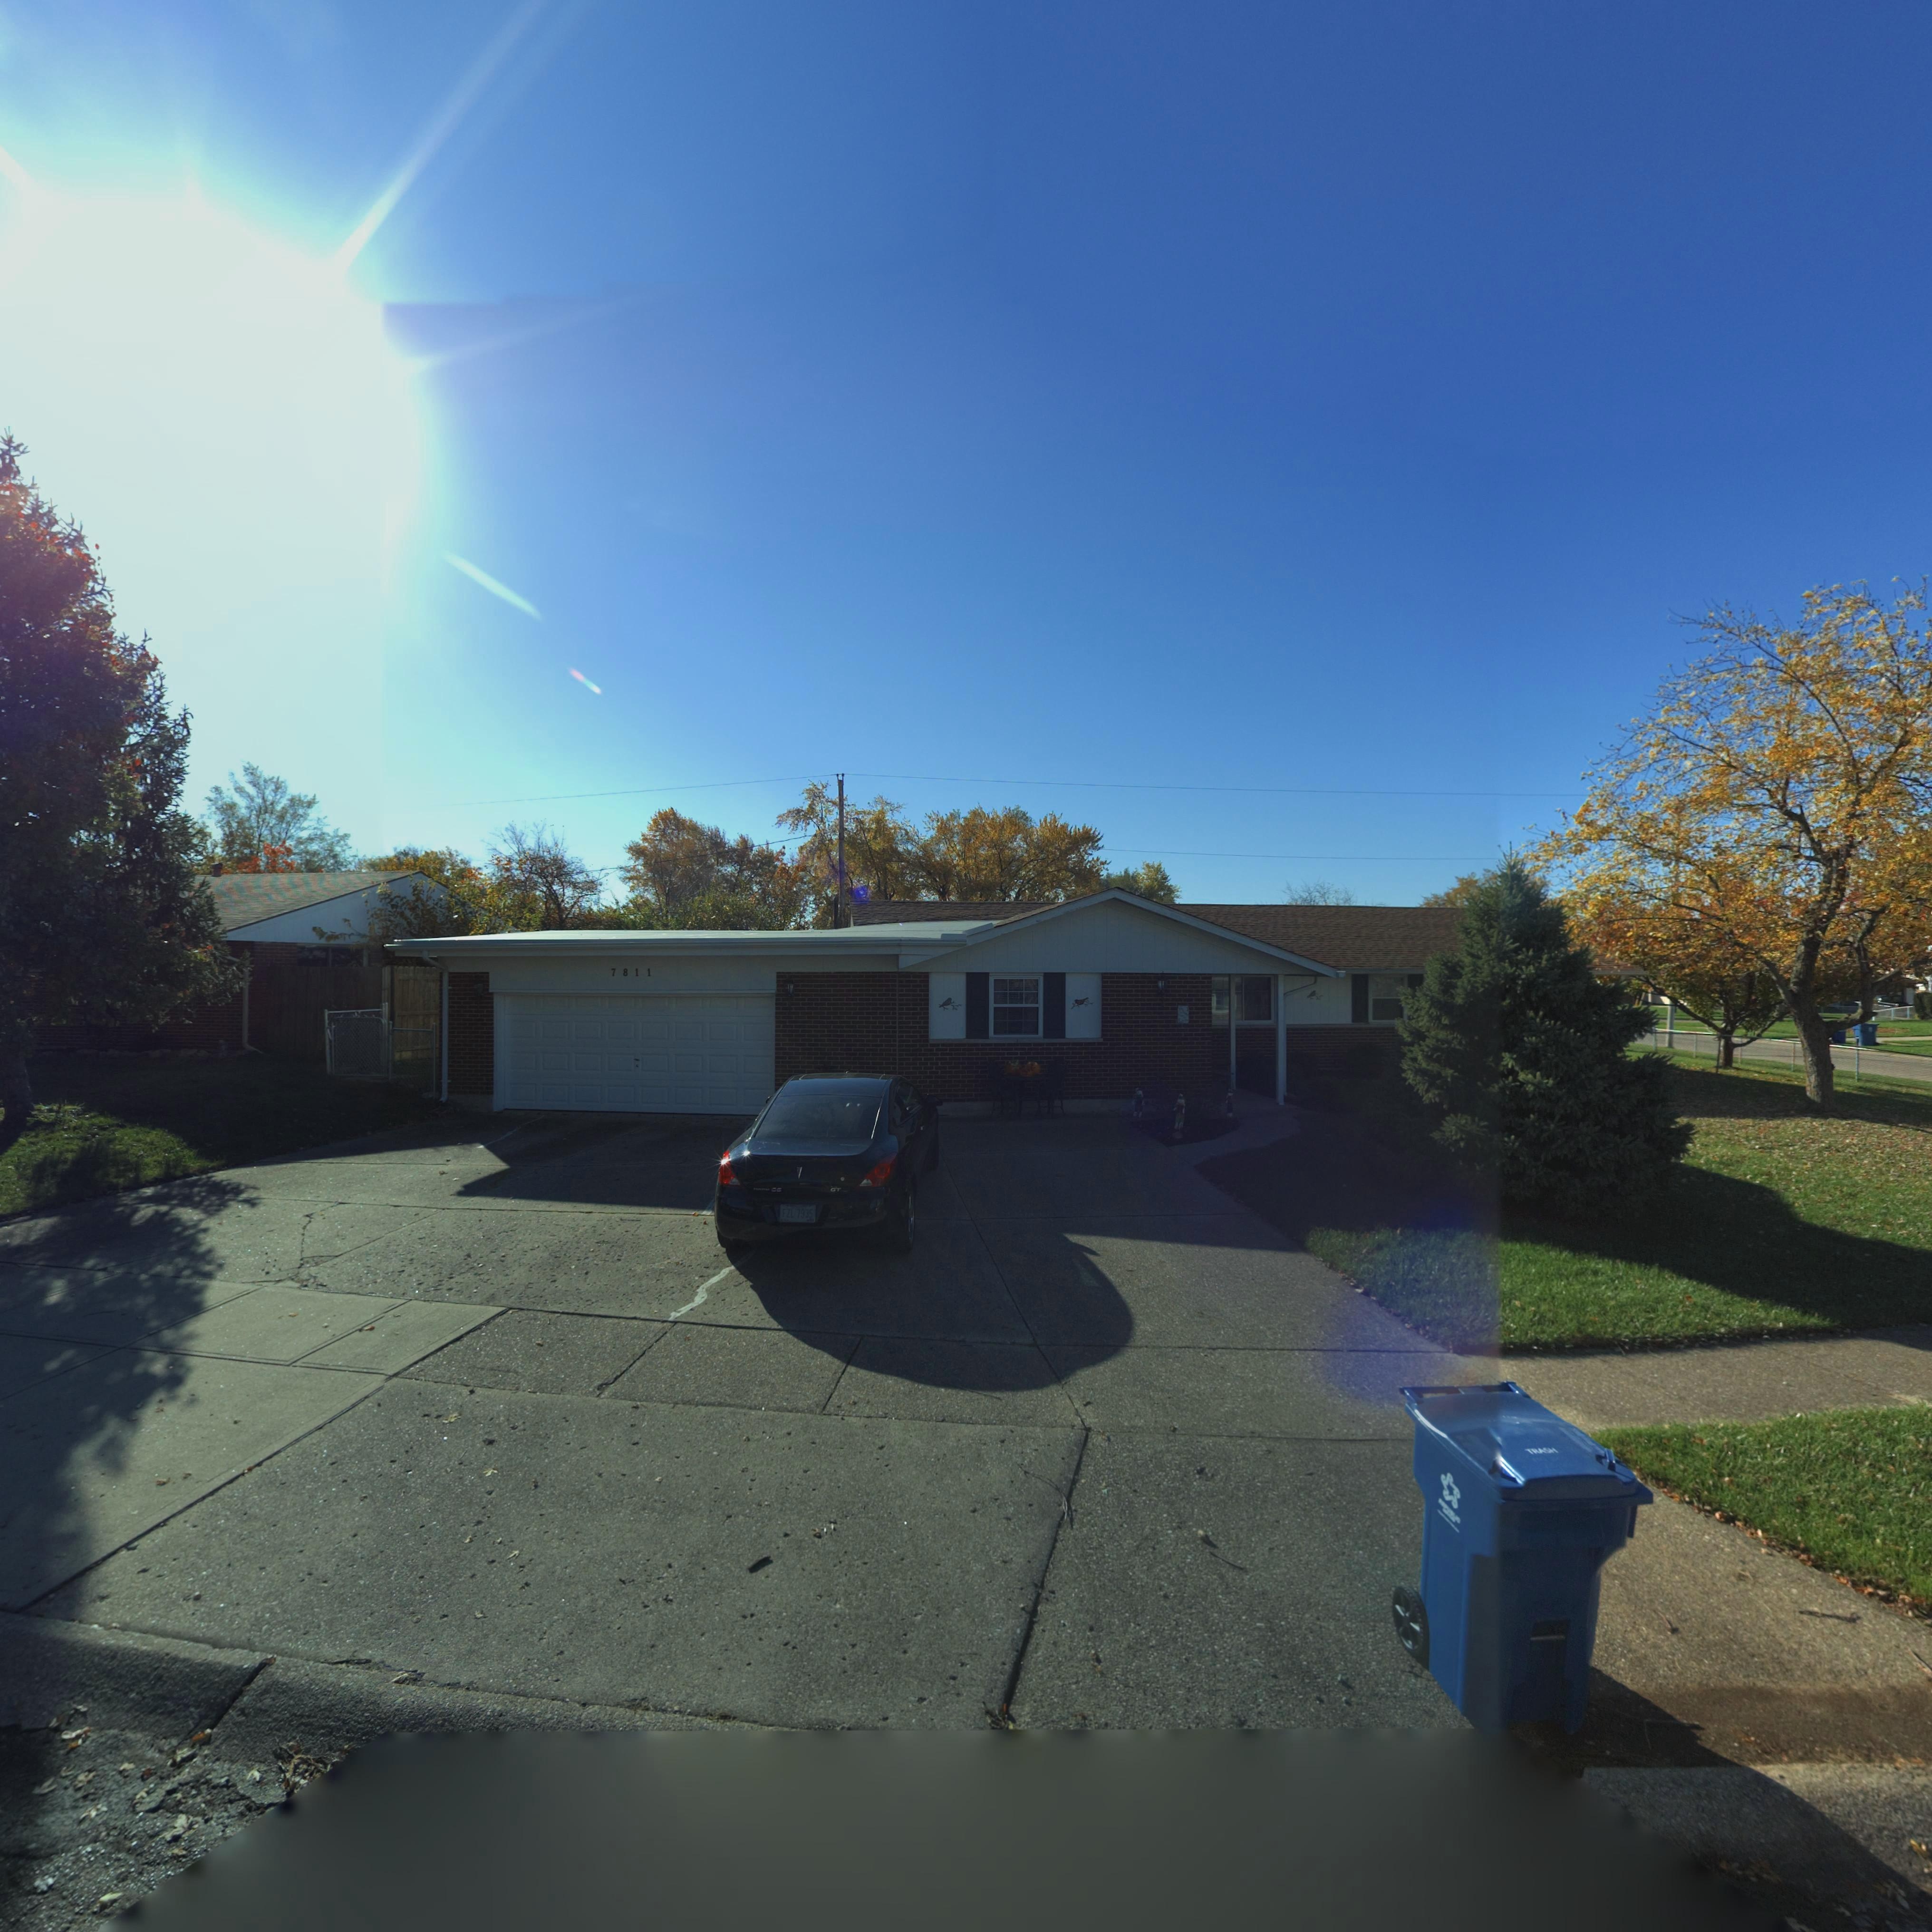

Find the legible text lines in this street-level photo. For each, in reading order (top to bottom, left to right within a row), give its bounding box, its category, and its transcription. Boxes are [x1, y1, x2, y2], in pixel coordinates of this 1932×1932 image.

[611, 967, 652, 977] StreetNumber: 7811